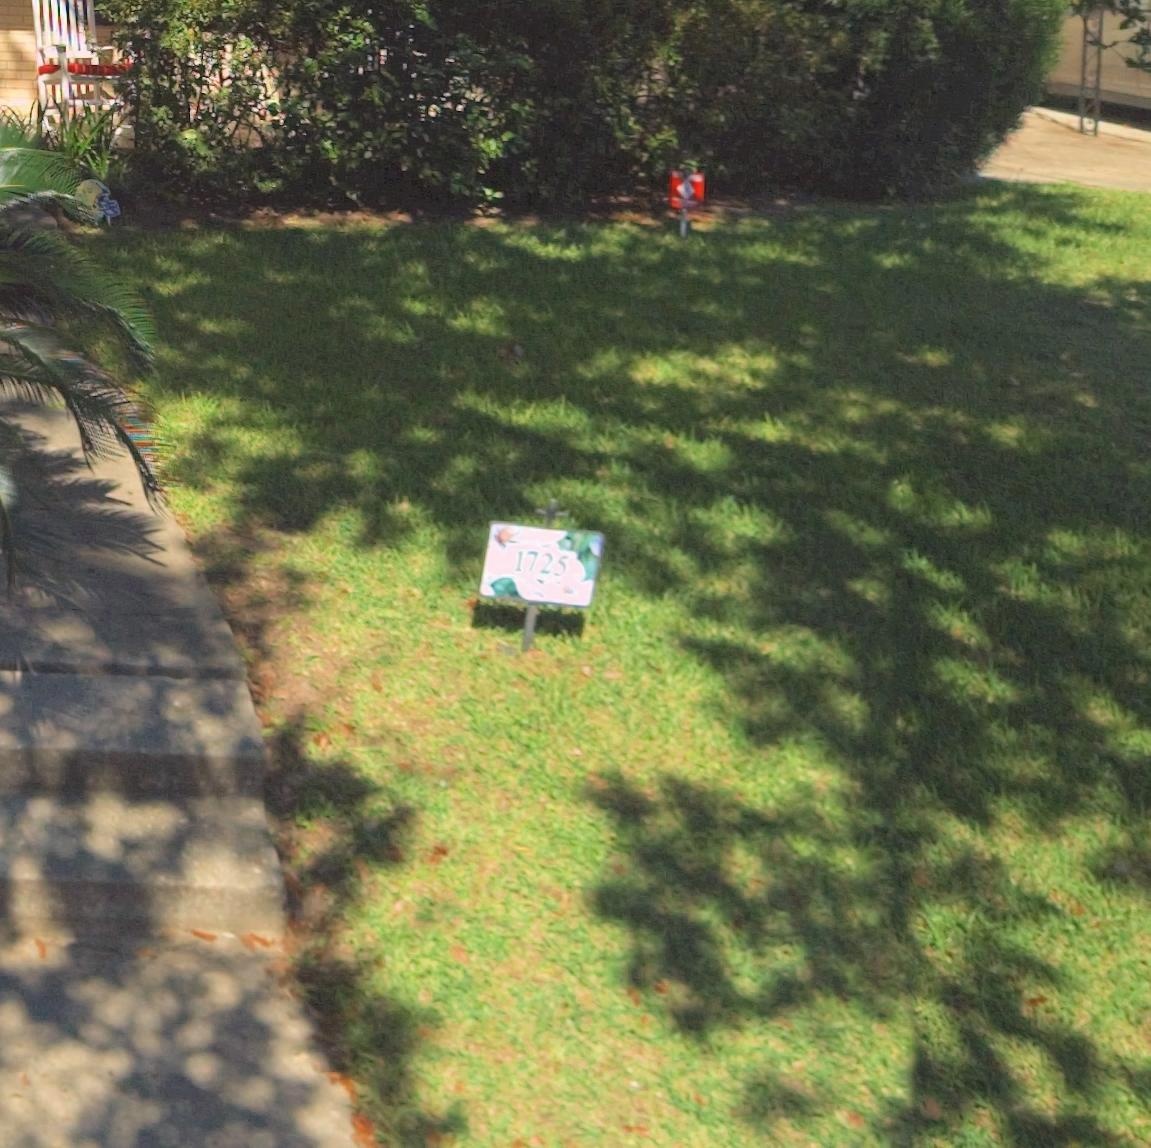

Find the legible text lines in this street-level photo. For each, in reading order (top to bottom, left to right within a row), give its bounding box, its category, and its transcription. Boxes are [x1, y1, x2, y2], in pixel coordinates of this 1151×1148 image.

[511, 545, 572, 581] StreetNumber: 1725